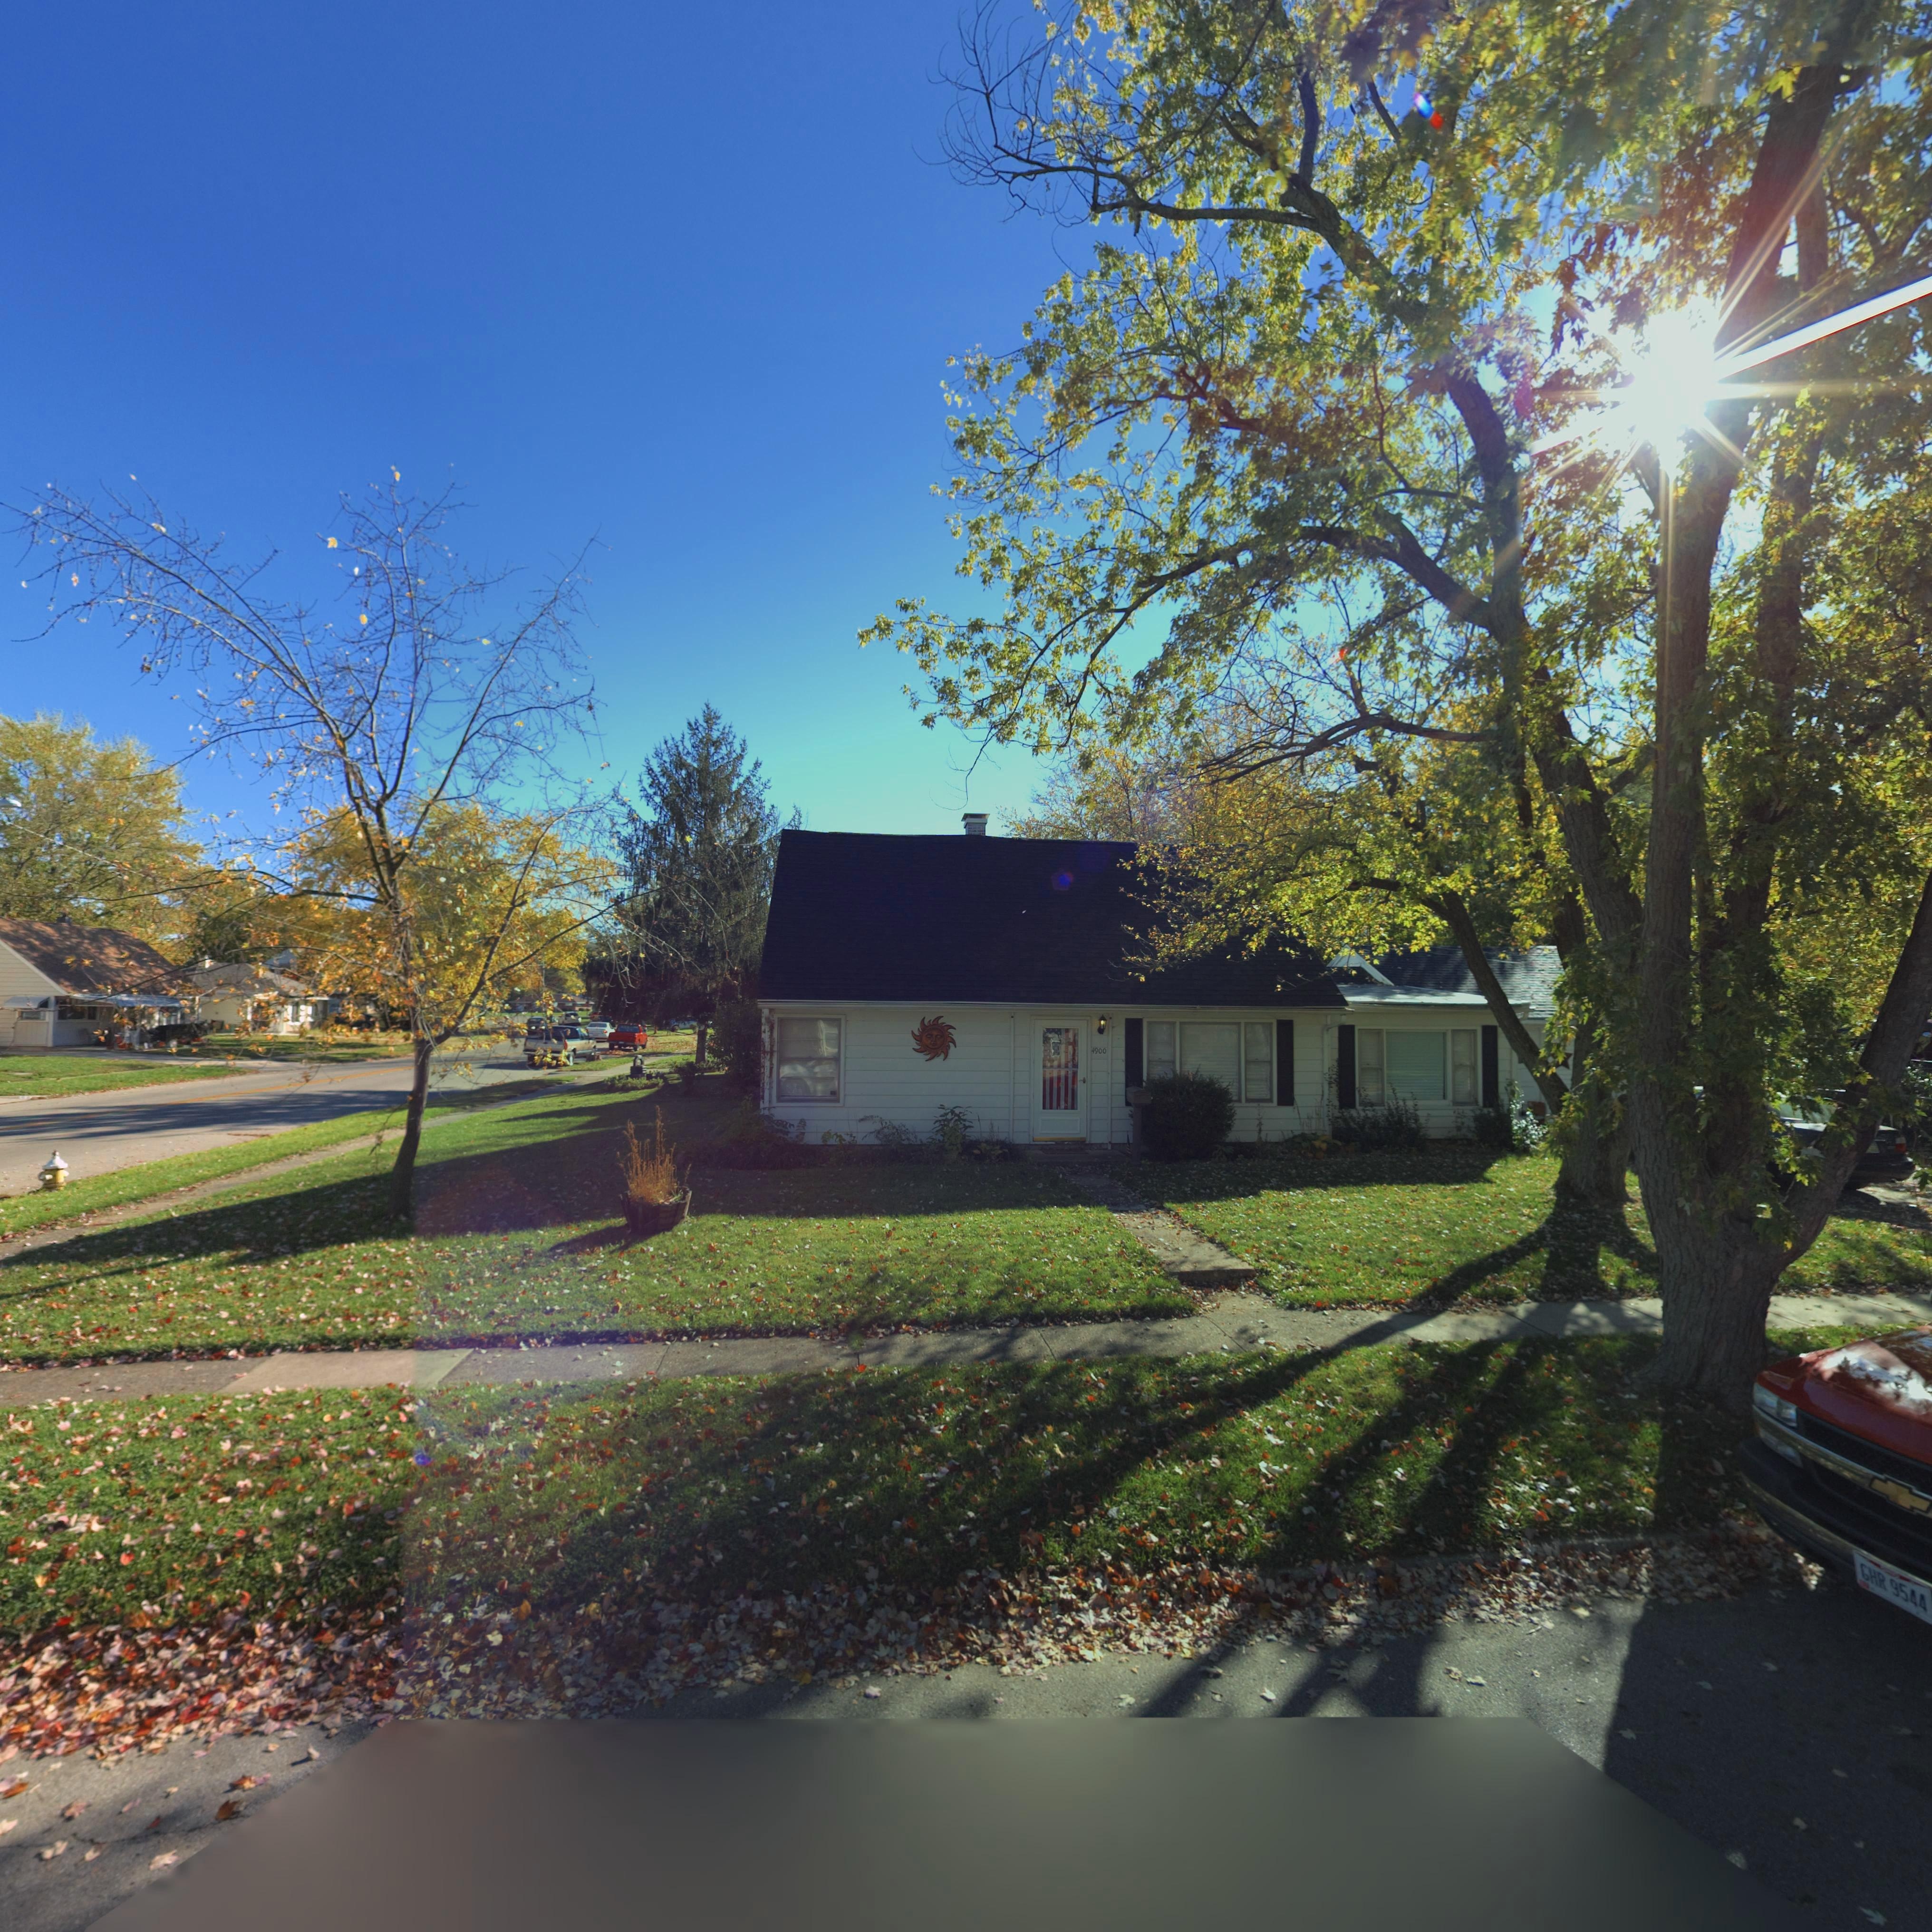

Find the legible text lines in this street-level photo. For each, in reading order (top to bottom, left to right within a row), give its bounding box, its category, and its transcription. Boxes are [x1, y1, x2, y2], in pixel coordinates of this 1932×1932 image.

[1091, 1046, 1108, 1055] StreetNumber: 4900